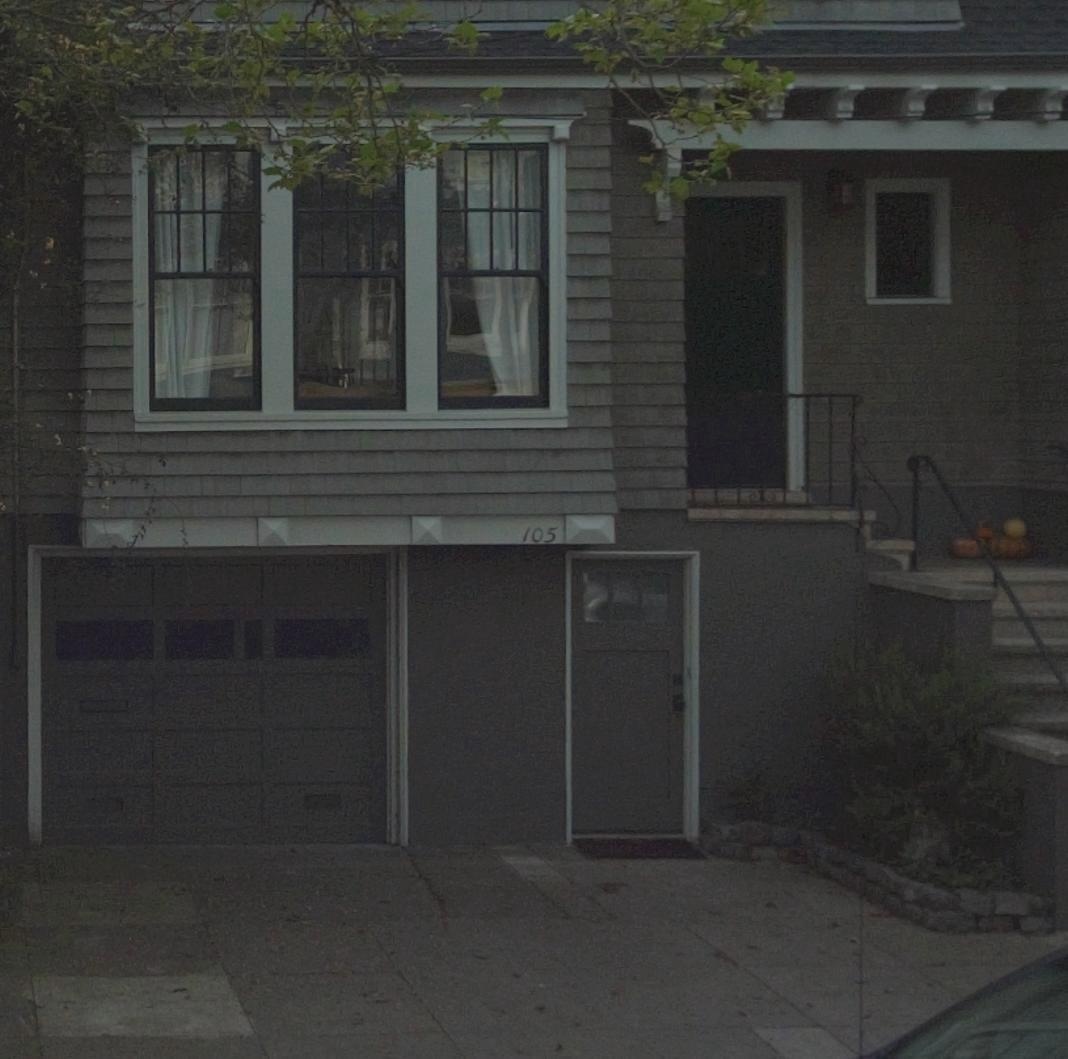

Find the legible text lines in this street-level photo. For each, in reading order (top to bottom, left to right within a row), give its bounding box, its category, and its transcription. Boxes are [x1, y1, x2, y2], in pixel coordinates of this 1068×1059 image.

[520, 525, 560, 544] StreetNumber: 105